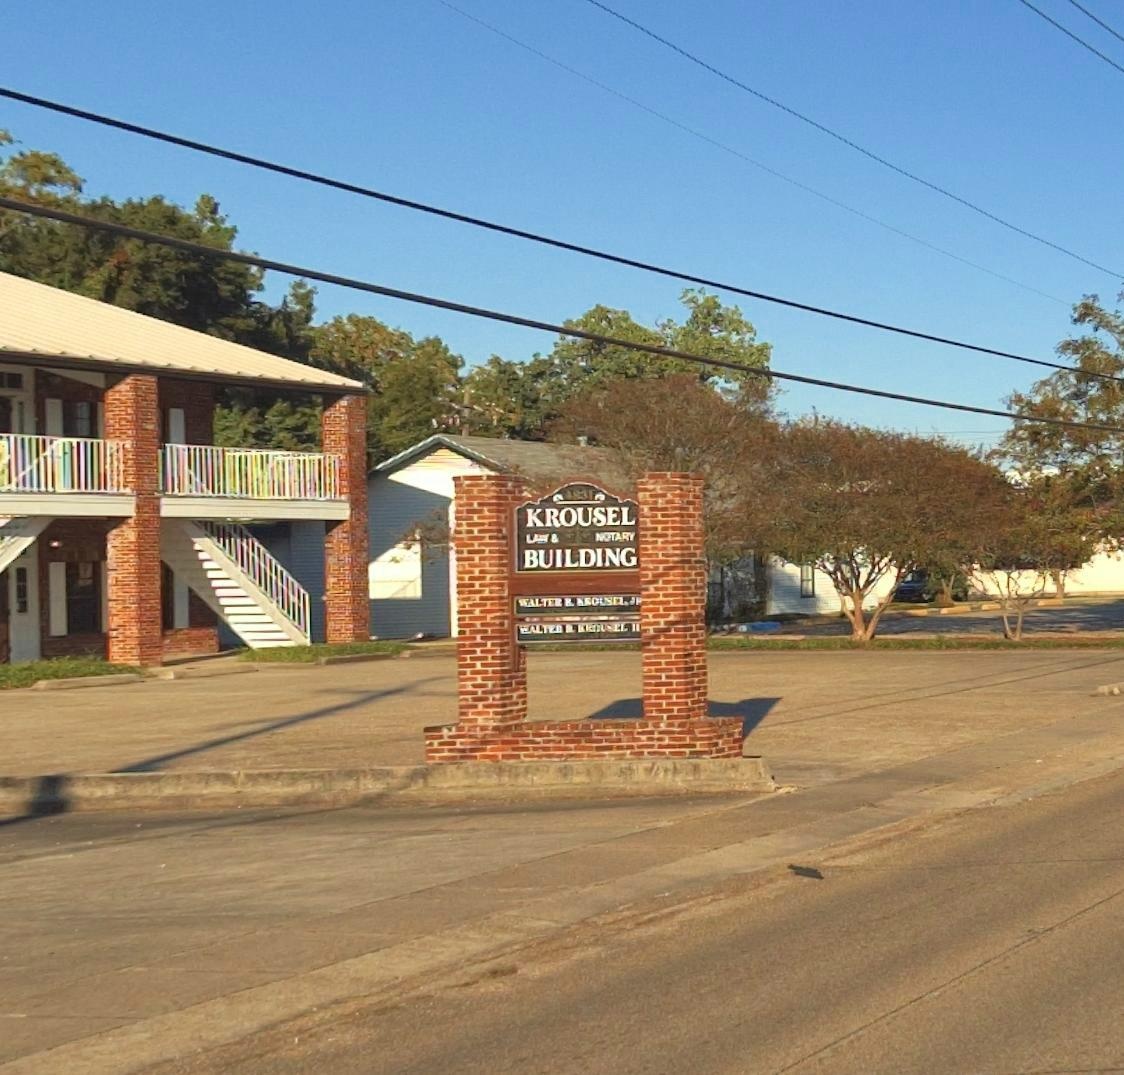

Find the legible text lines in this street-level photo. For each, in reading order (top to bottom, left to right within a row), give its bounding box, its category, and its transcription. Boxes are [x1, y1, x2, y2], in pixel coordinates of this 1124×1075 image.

[525, 506, 637, 528] BusinessName: KROUSEL
[593, 530, 637, 543] None: NOTARY
[523, 546, 639, 569] BusinessName: BUILDING
[517, 597, 563, 609] None: WALTER